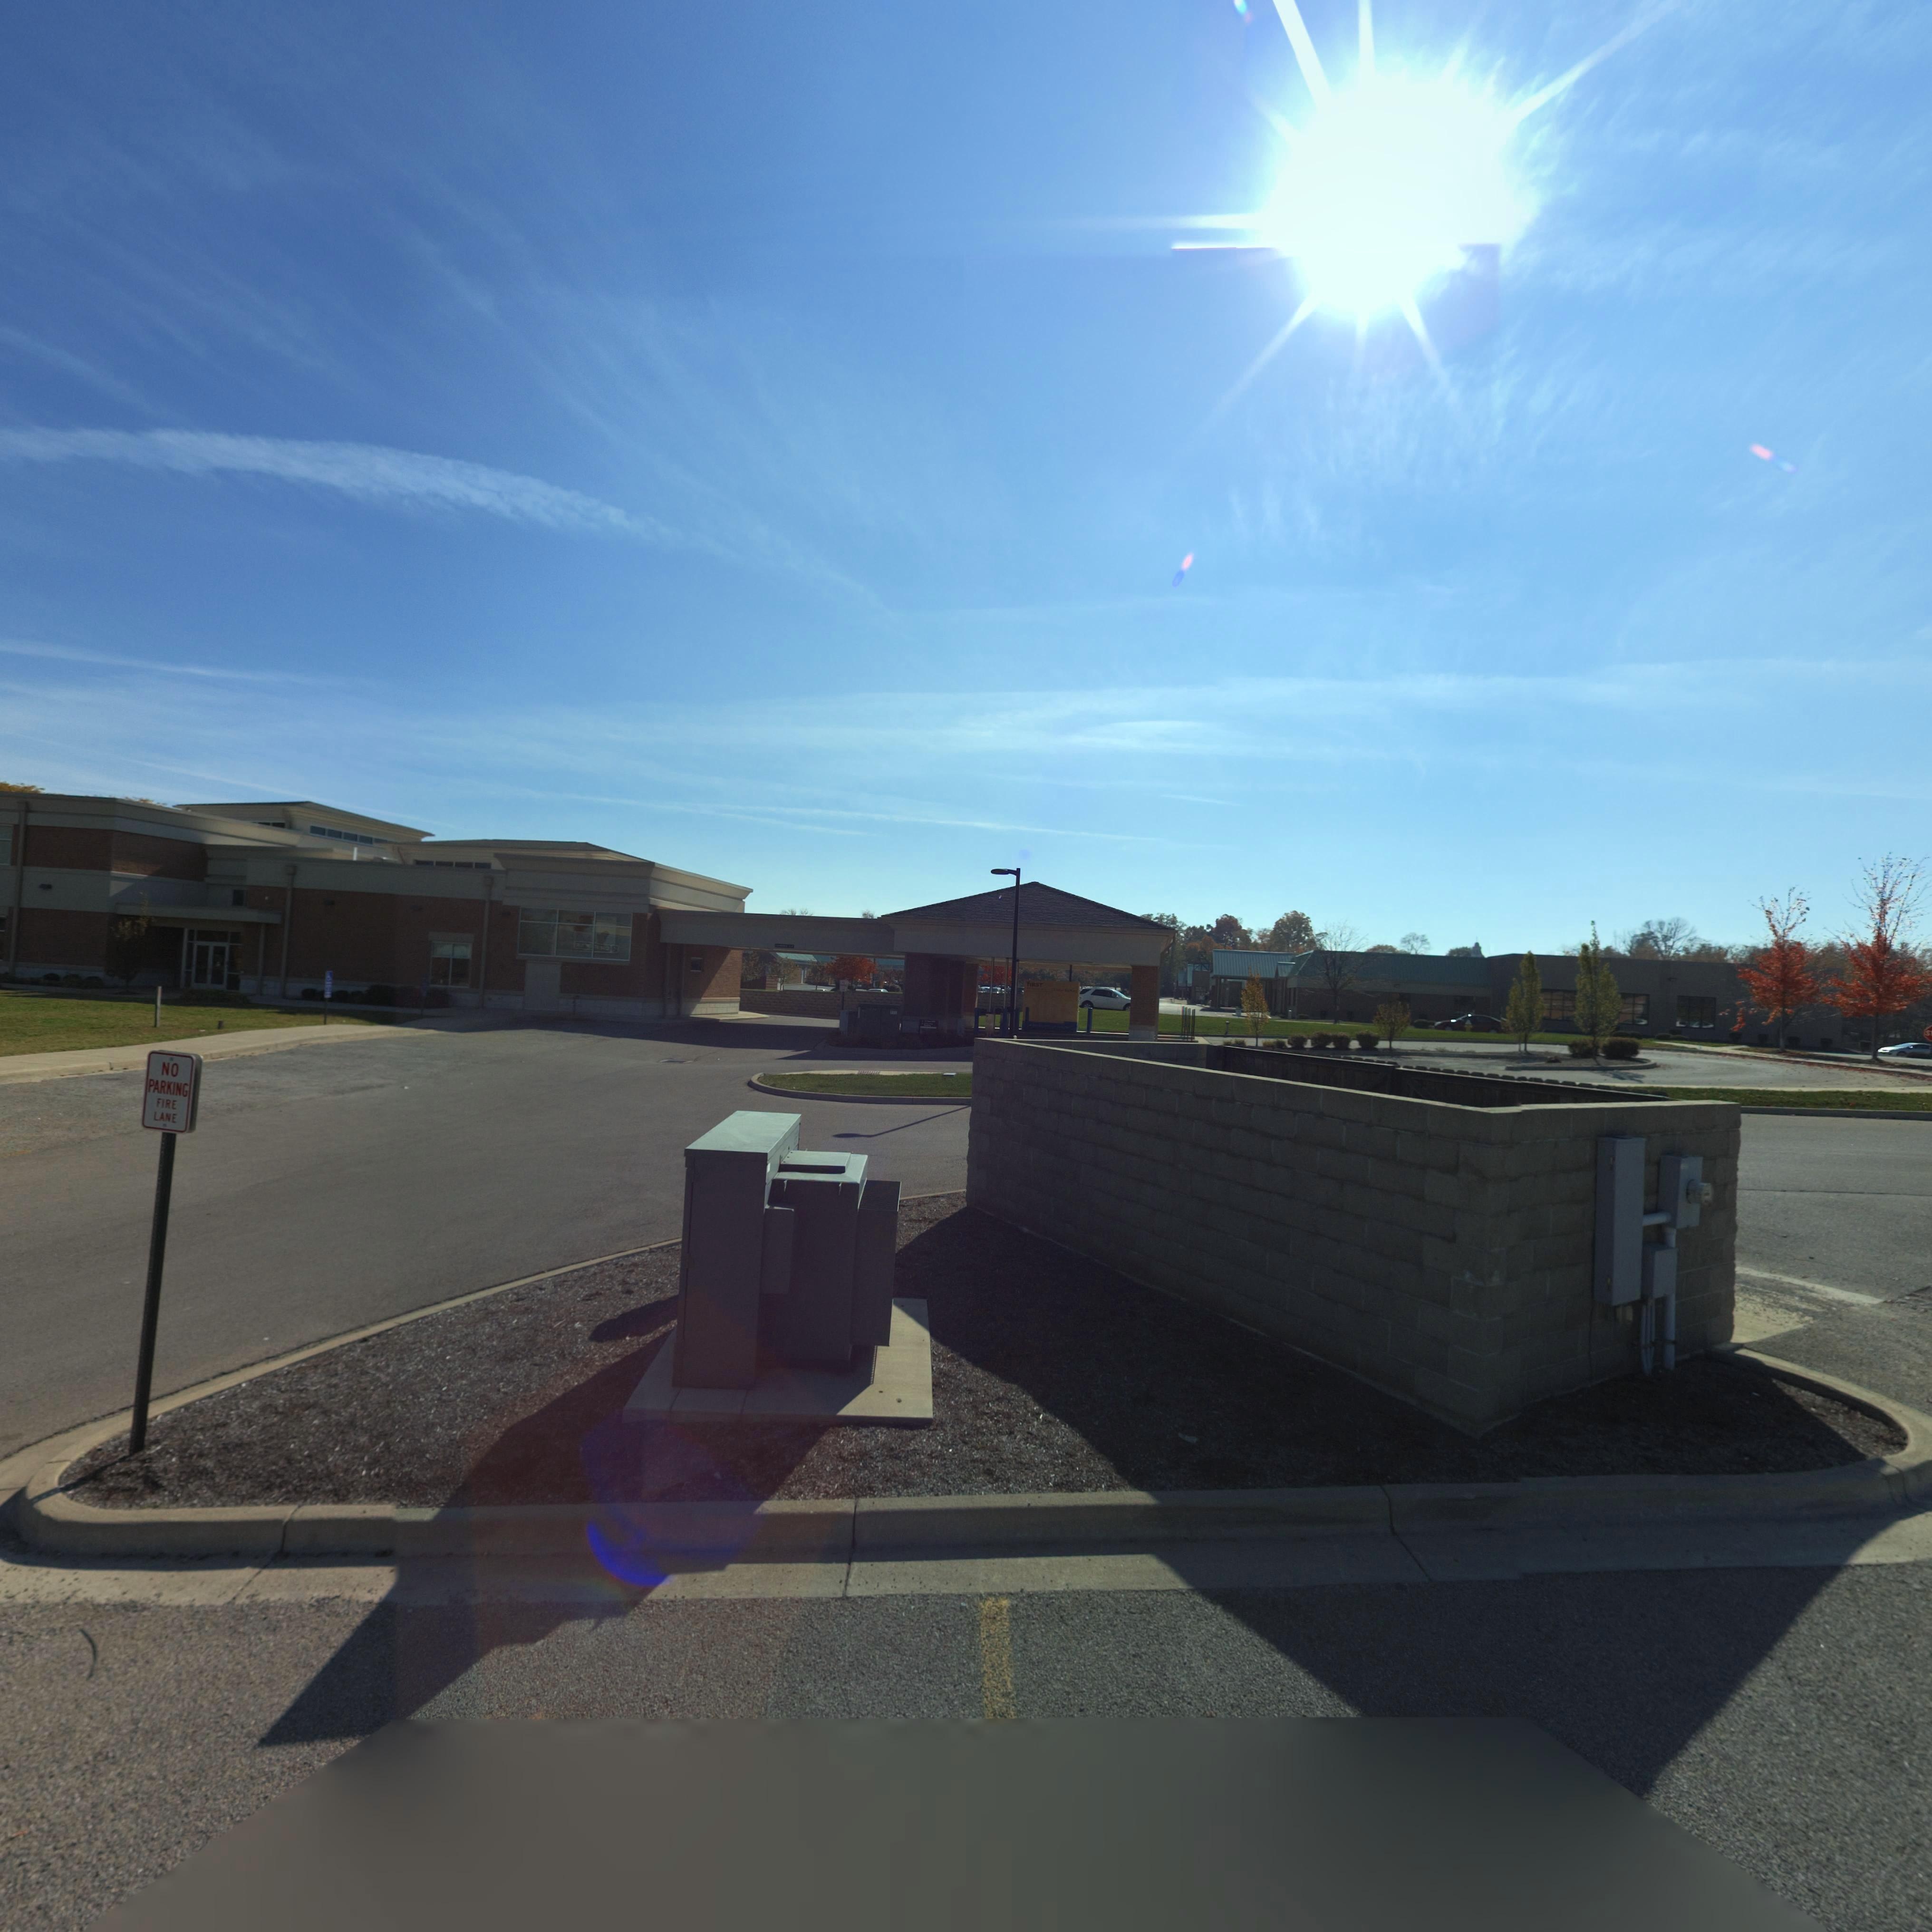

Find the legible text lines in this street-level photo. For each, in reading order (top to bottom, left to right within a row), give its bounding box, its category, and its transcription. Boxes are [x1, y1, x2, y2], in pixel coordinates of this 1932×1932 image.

[1025, 980, 1044, 988] BusinessName: *IRST